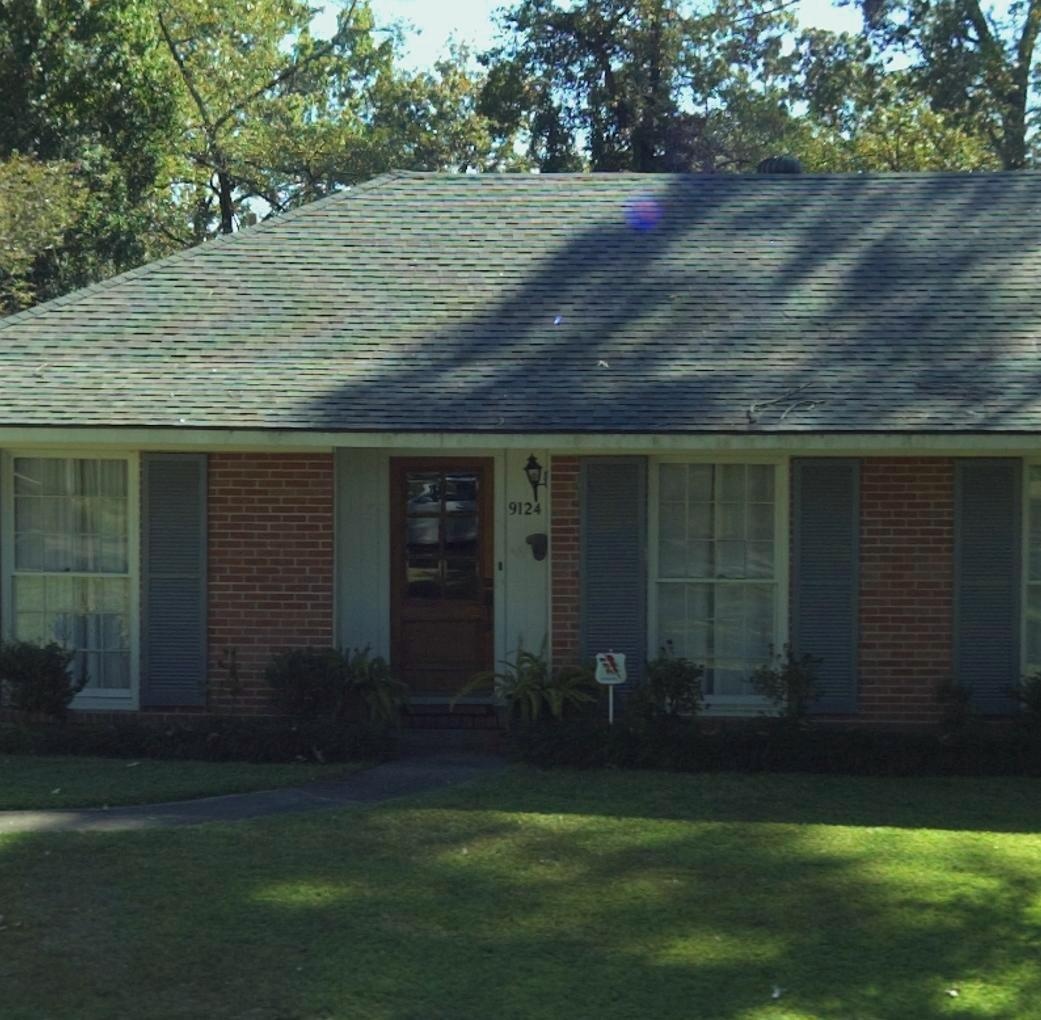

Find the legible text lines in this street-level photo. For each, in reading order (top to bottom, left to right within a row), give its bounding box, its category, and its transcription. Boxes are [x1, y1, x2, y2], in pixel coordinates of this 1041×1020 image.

[508, 501, 543, 516] StreetNumber: 9124